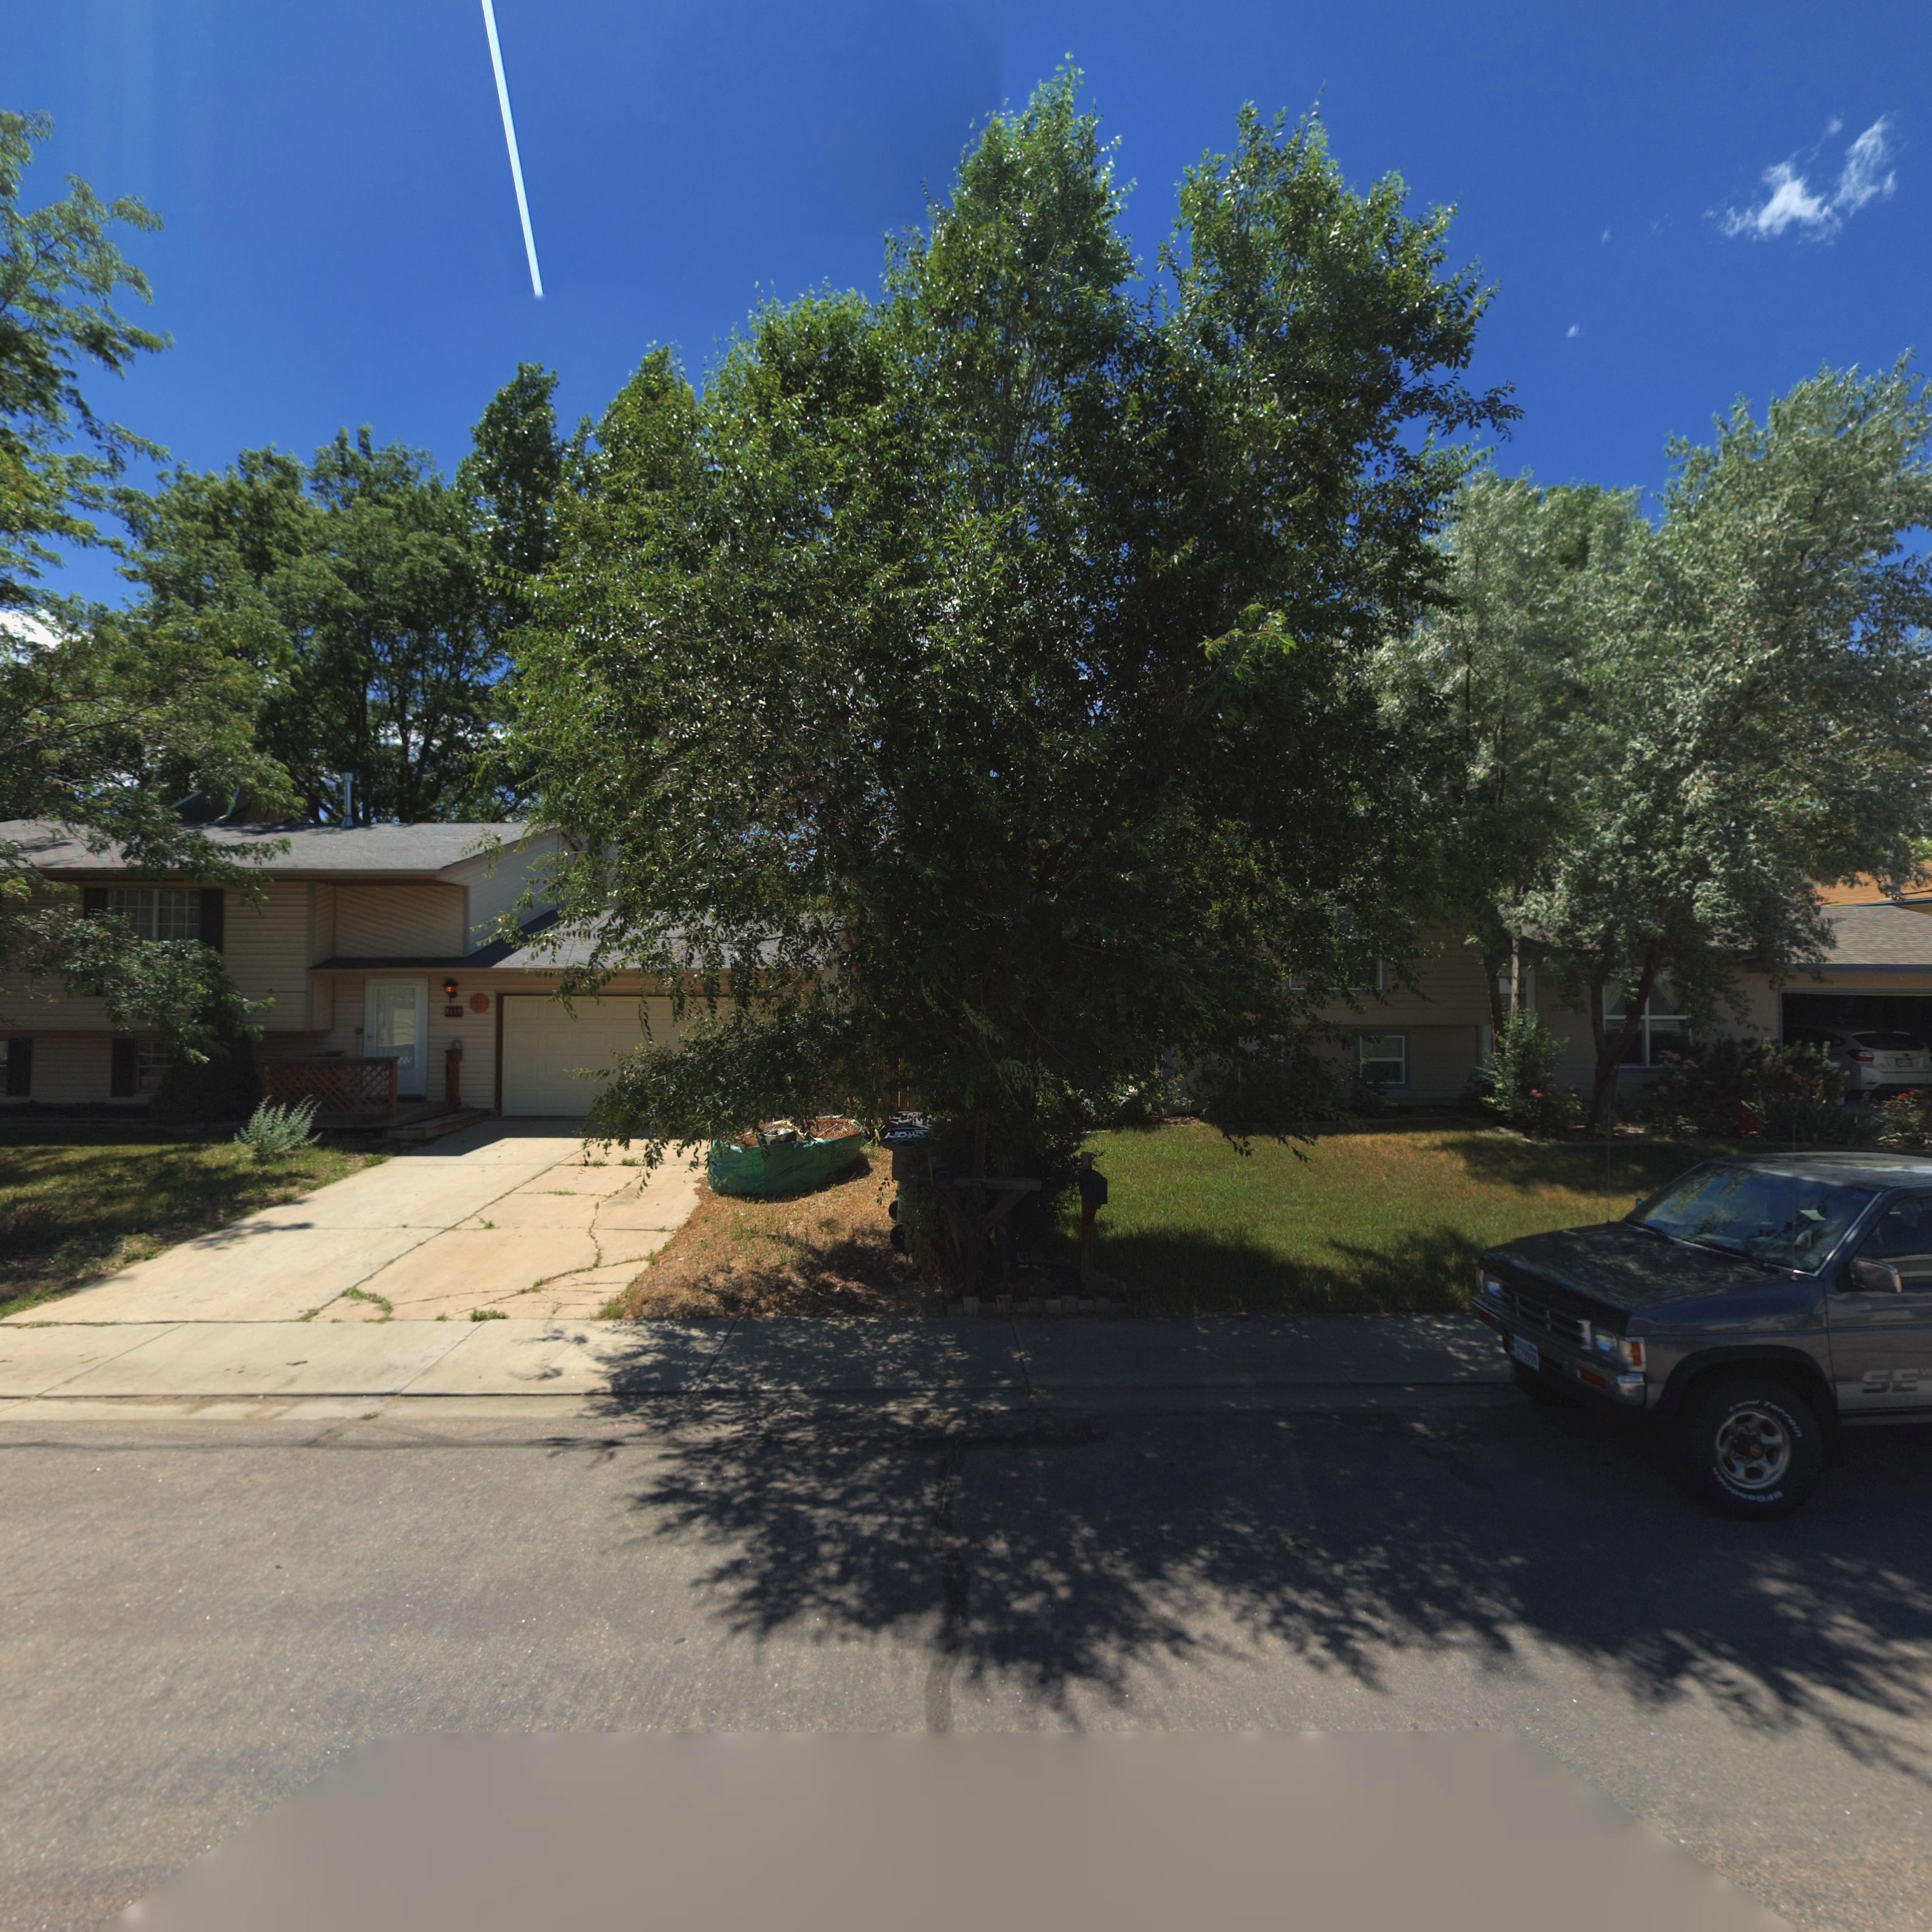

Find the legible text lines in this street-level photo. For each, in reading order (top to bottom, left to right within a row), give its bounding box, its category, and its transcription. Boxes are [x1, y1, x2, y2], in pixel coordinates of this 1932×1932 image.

[443, 1007, 462, 1015] StreetNumber: 2115
[1547, 1003, 1569, 1011] StreetNumber: 212*